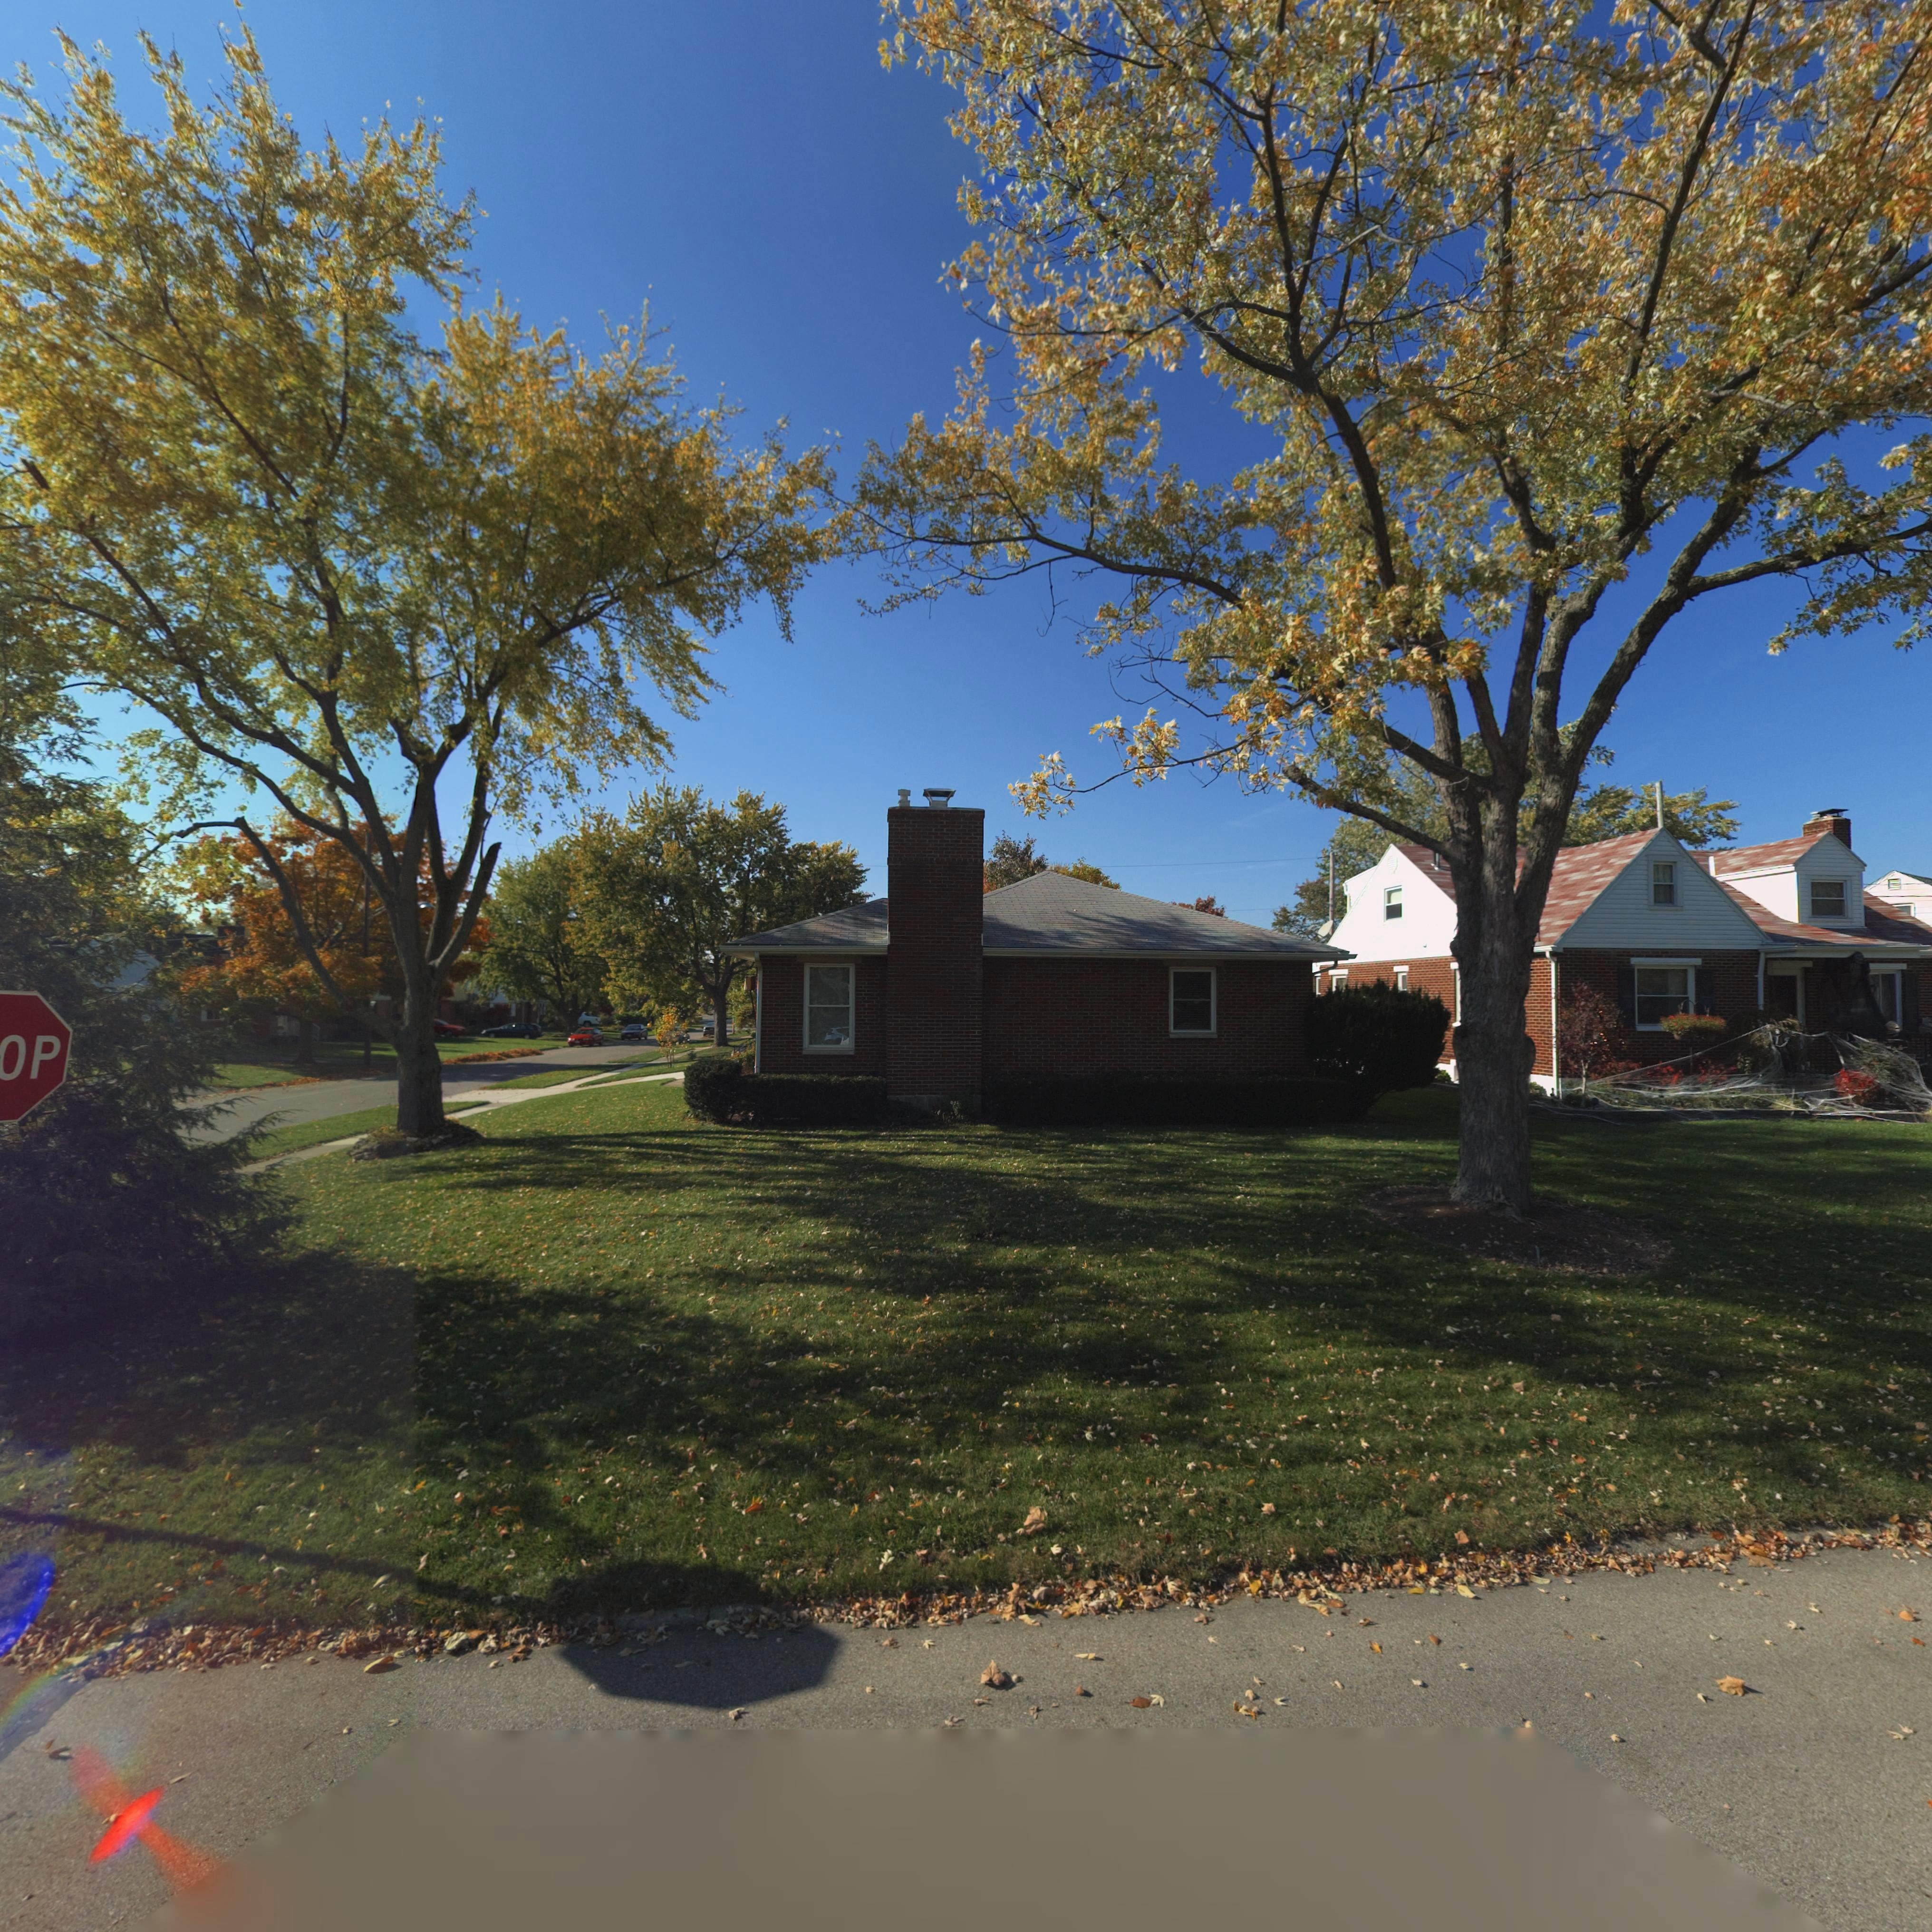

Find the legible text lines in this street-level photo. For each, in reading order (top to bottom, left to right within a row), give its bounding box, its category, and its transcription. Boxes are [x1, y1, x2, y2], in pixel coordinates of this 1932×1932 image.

[0, 1034, 61, 1082] None: OP